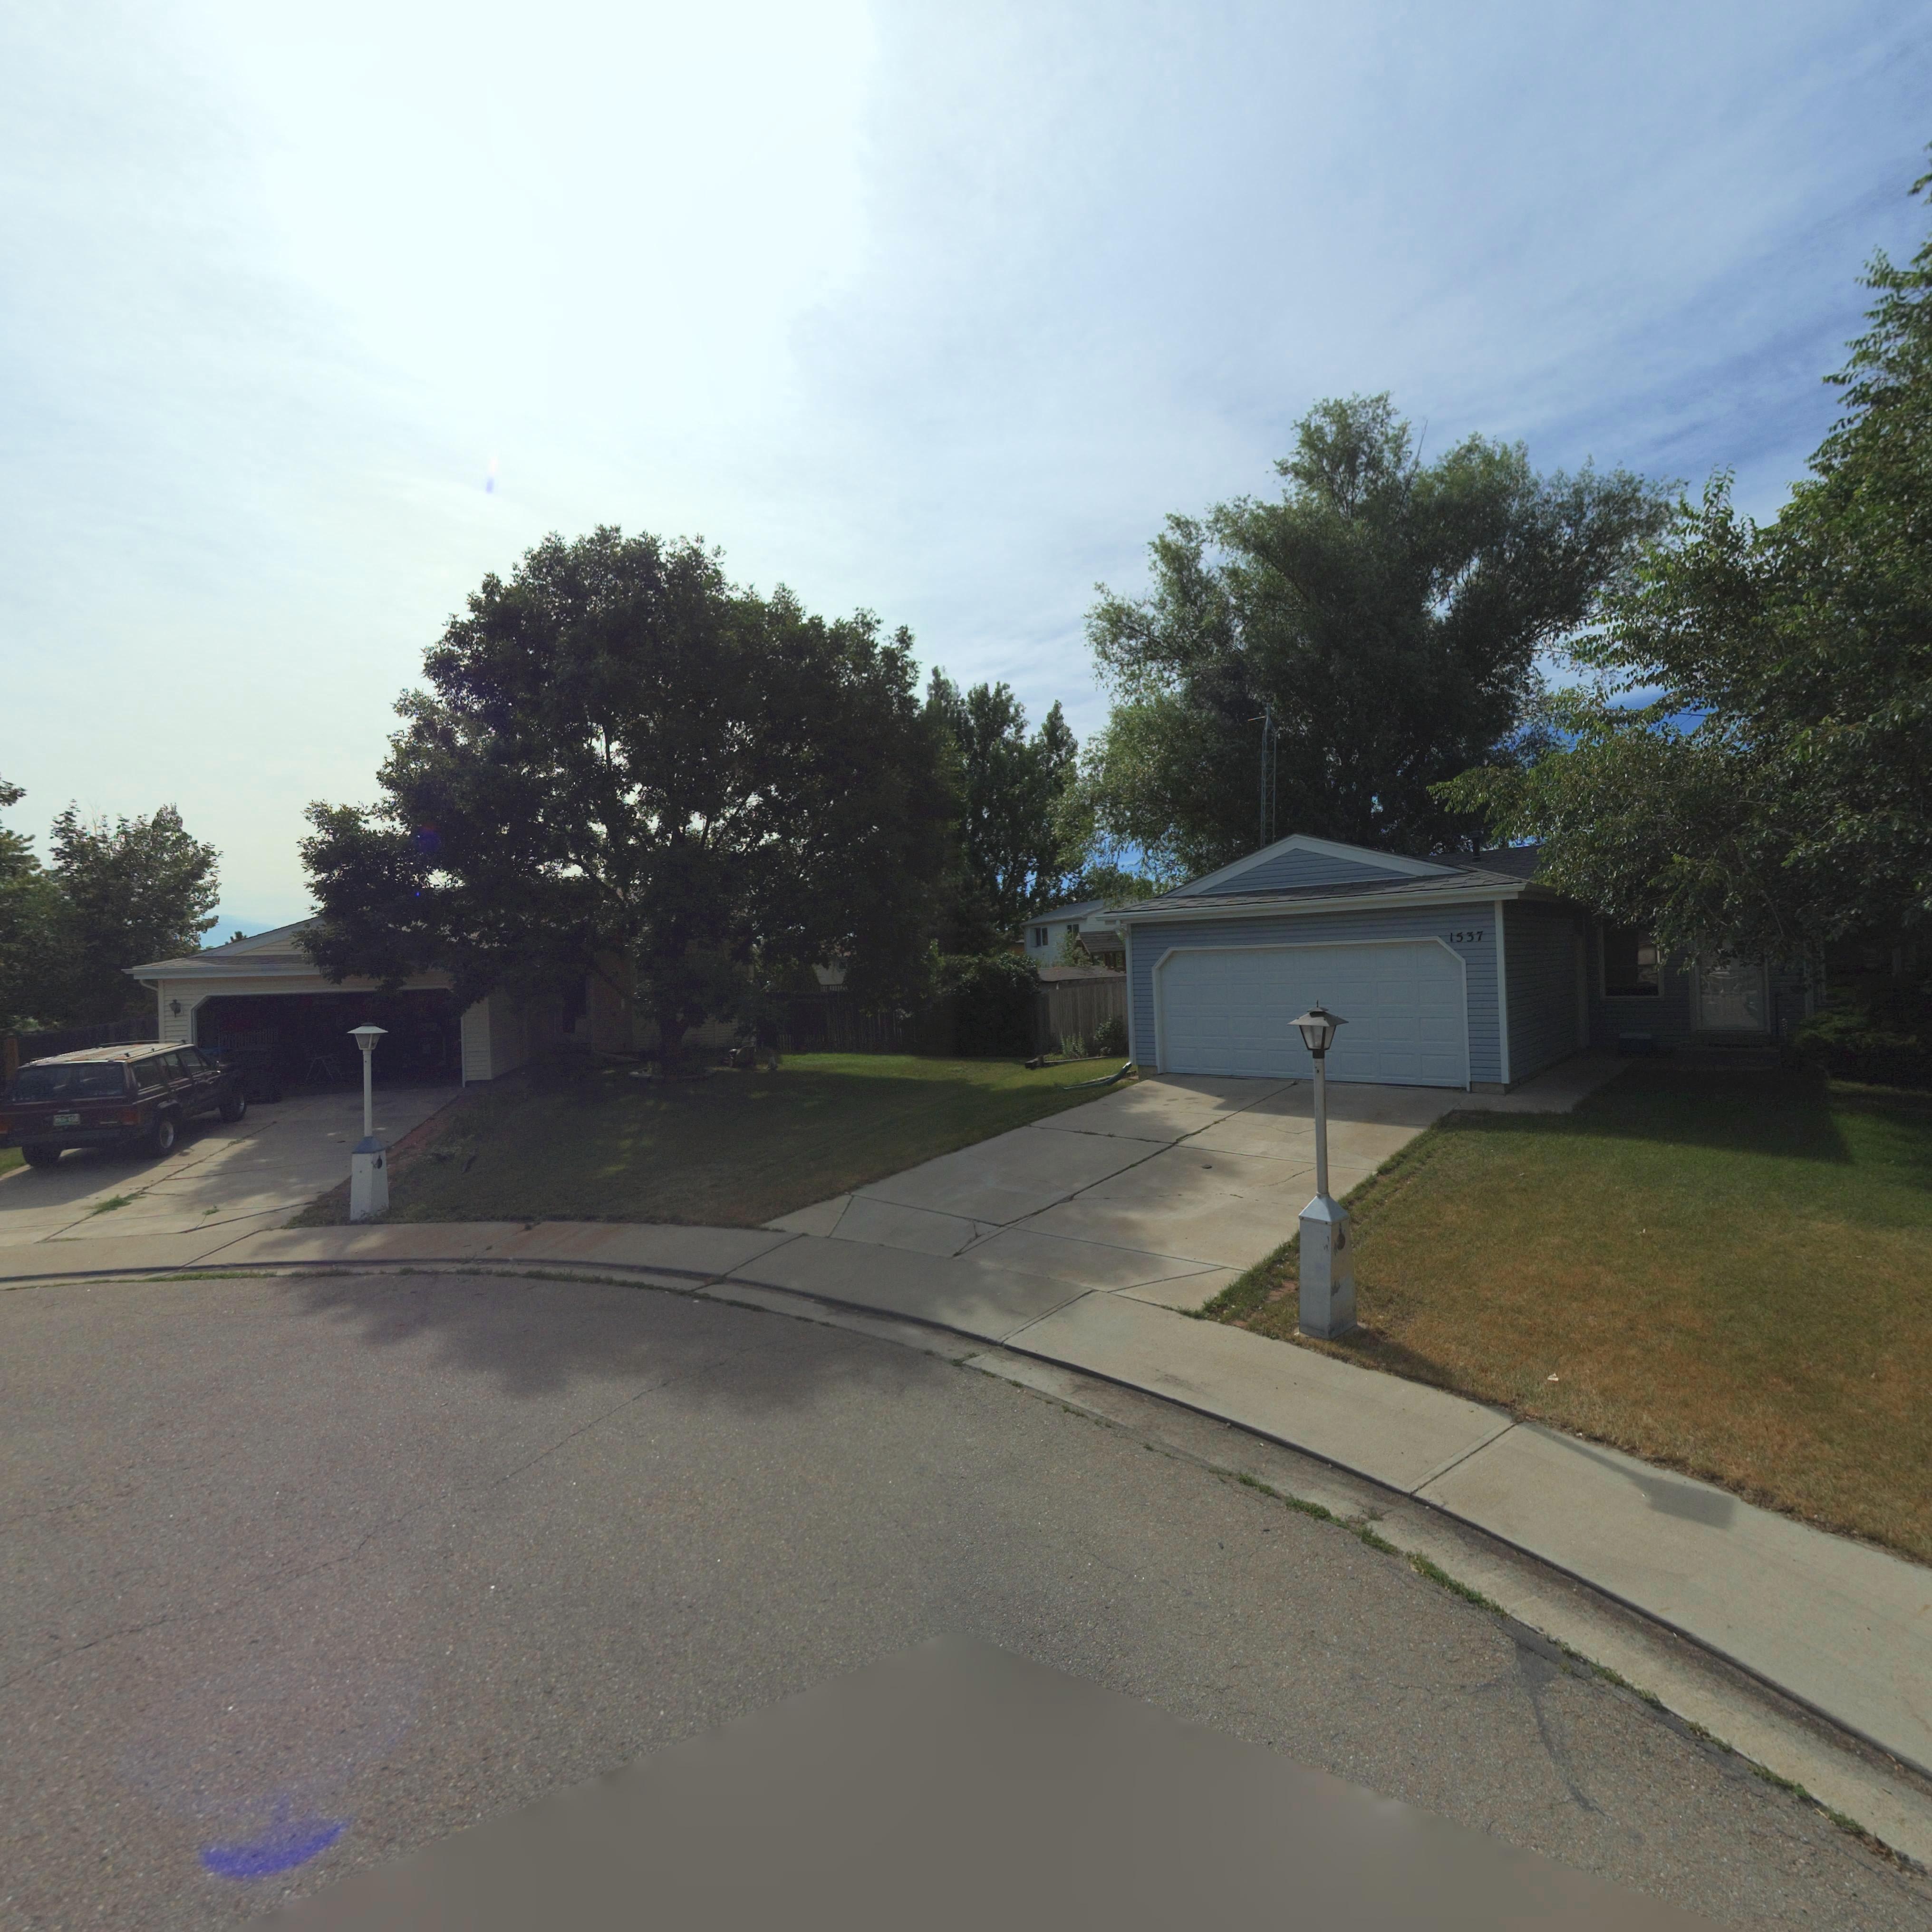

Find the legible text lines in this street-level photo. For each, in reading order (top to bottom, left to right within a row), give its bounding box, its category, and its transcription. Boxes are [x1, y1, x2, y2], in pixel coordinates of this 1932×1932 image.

[1449, 930, 1484, 943] StreetNumber: 1537